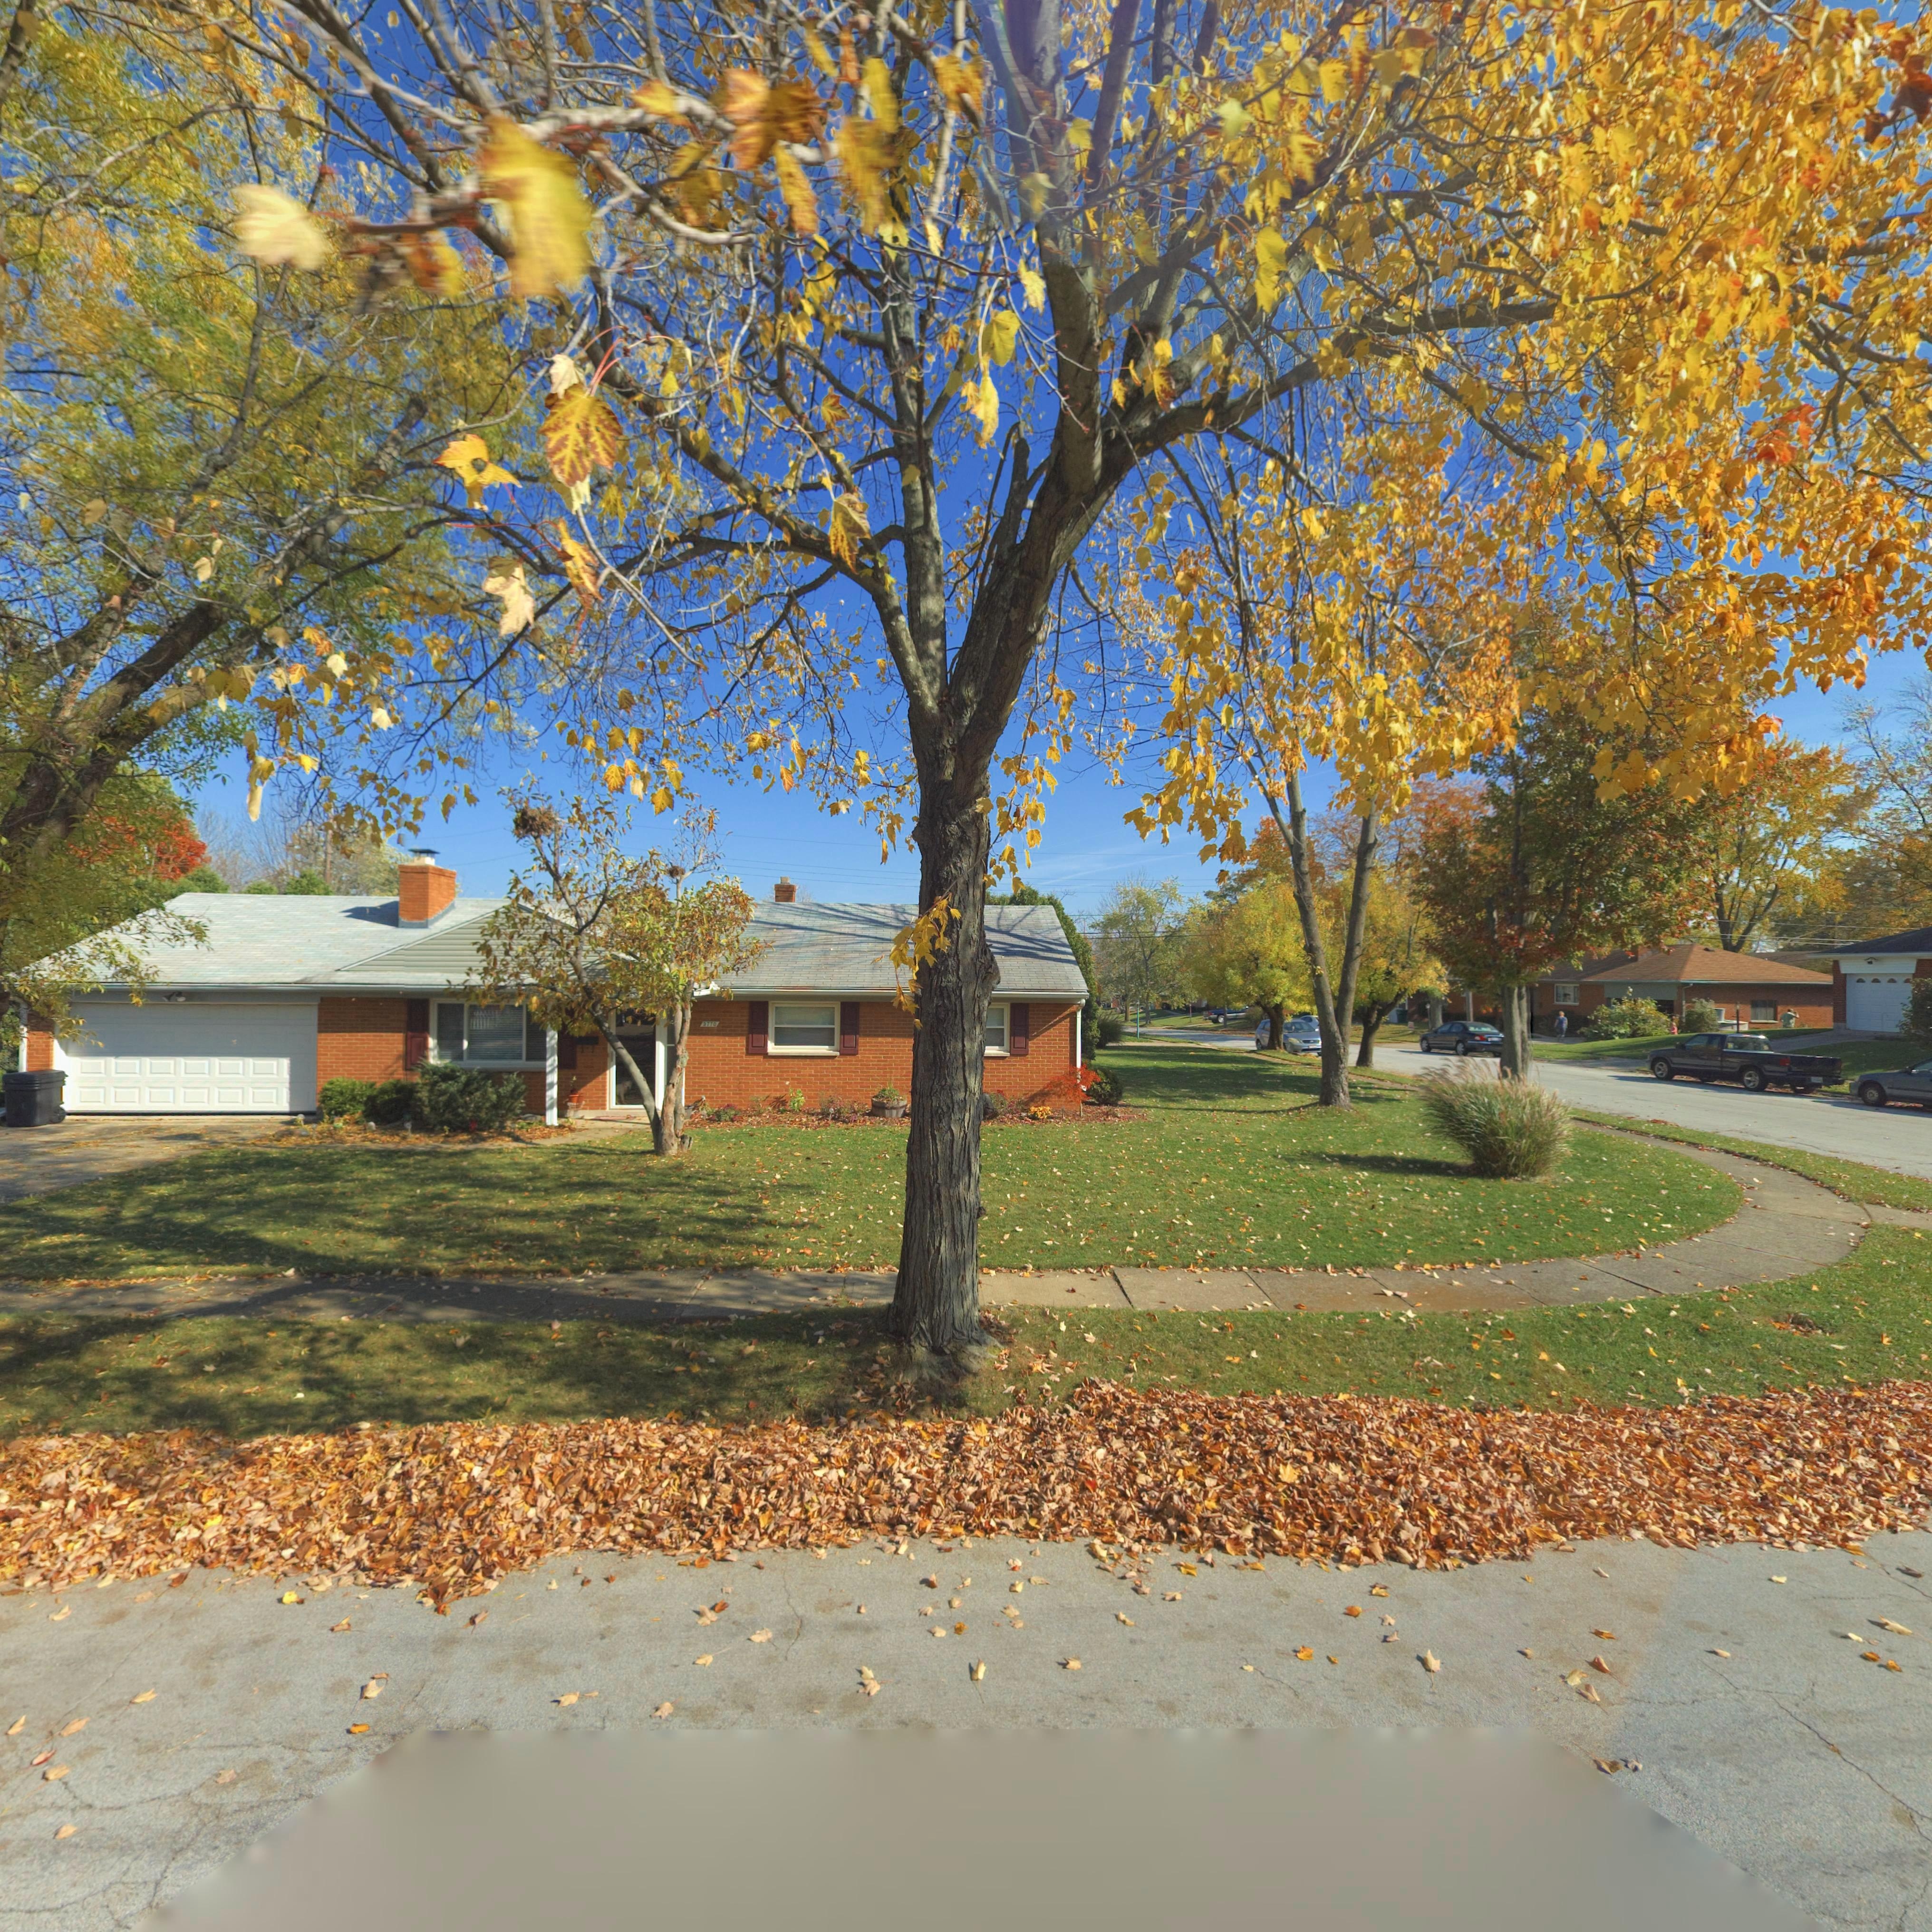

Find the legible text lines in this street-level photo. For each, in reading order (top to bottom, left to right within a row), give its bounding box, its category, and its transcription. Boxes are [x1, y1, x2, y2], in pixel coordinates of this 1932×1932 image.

[701, 1022, 718, 1027] StreetNumber: 3770